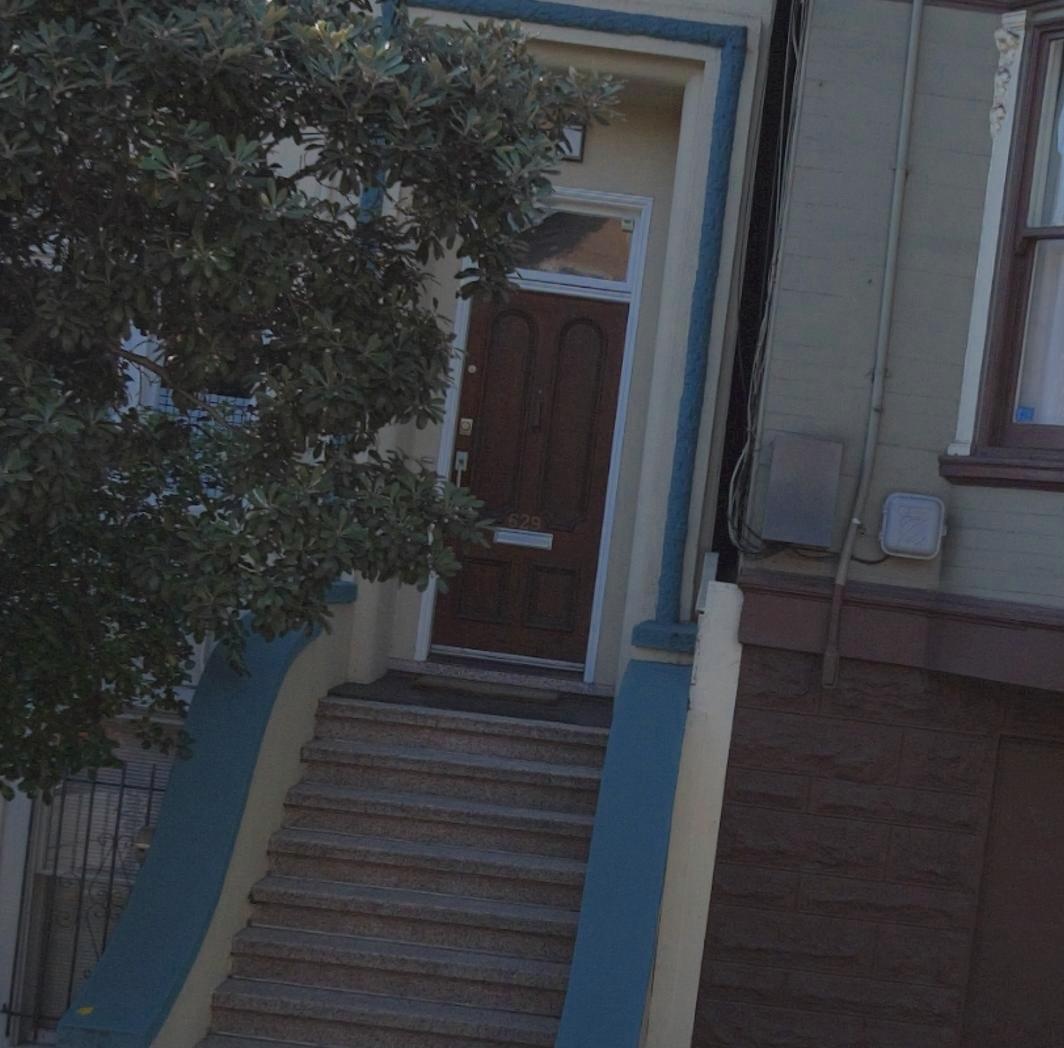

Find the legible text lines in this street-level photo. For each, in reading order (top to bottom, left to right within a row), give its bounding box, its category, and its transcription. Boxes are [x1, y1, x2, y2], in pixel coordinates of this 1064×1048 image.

[507, 511, 541, 534] StreetNumber: 629